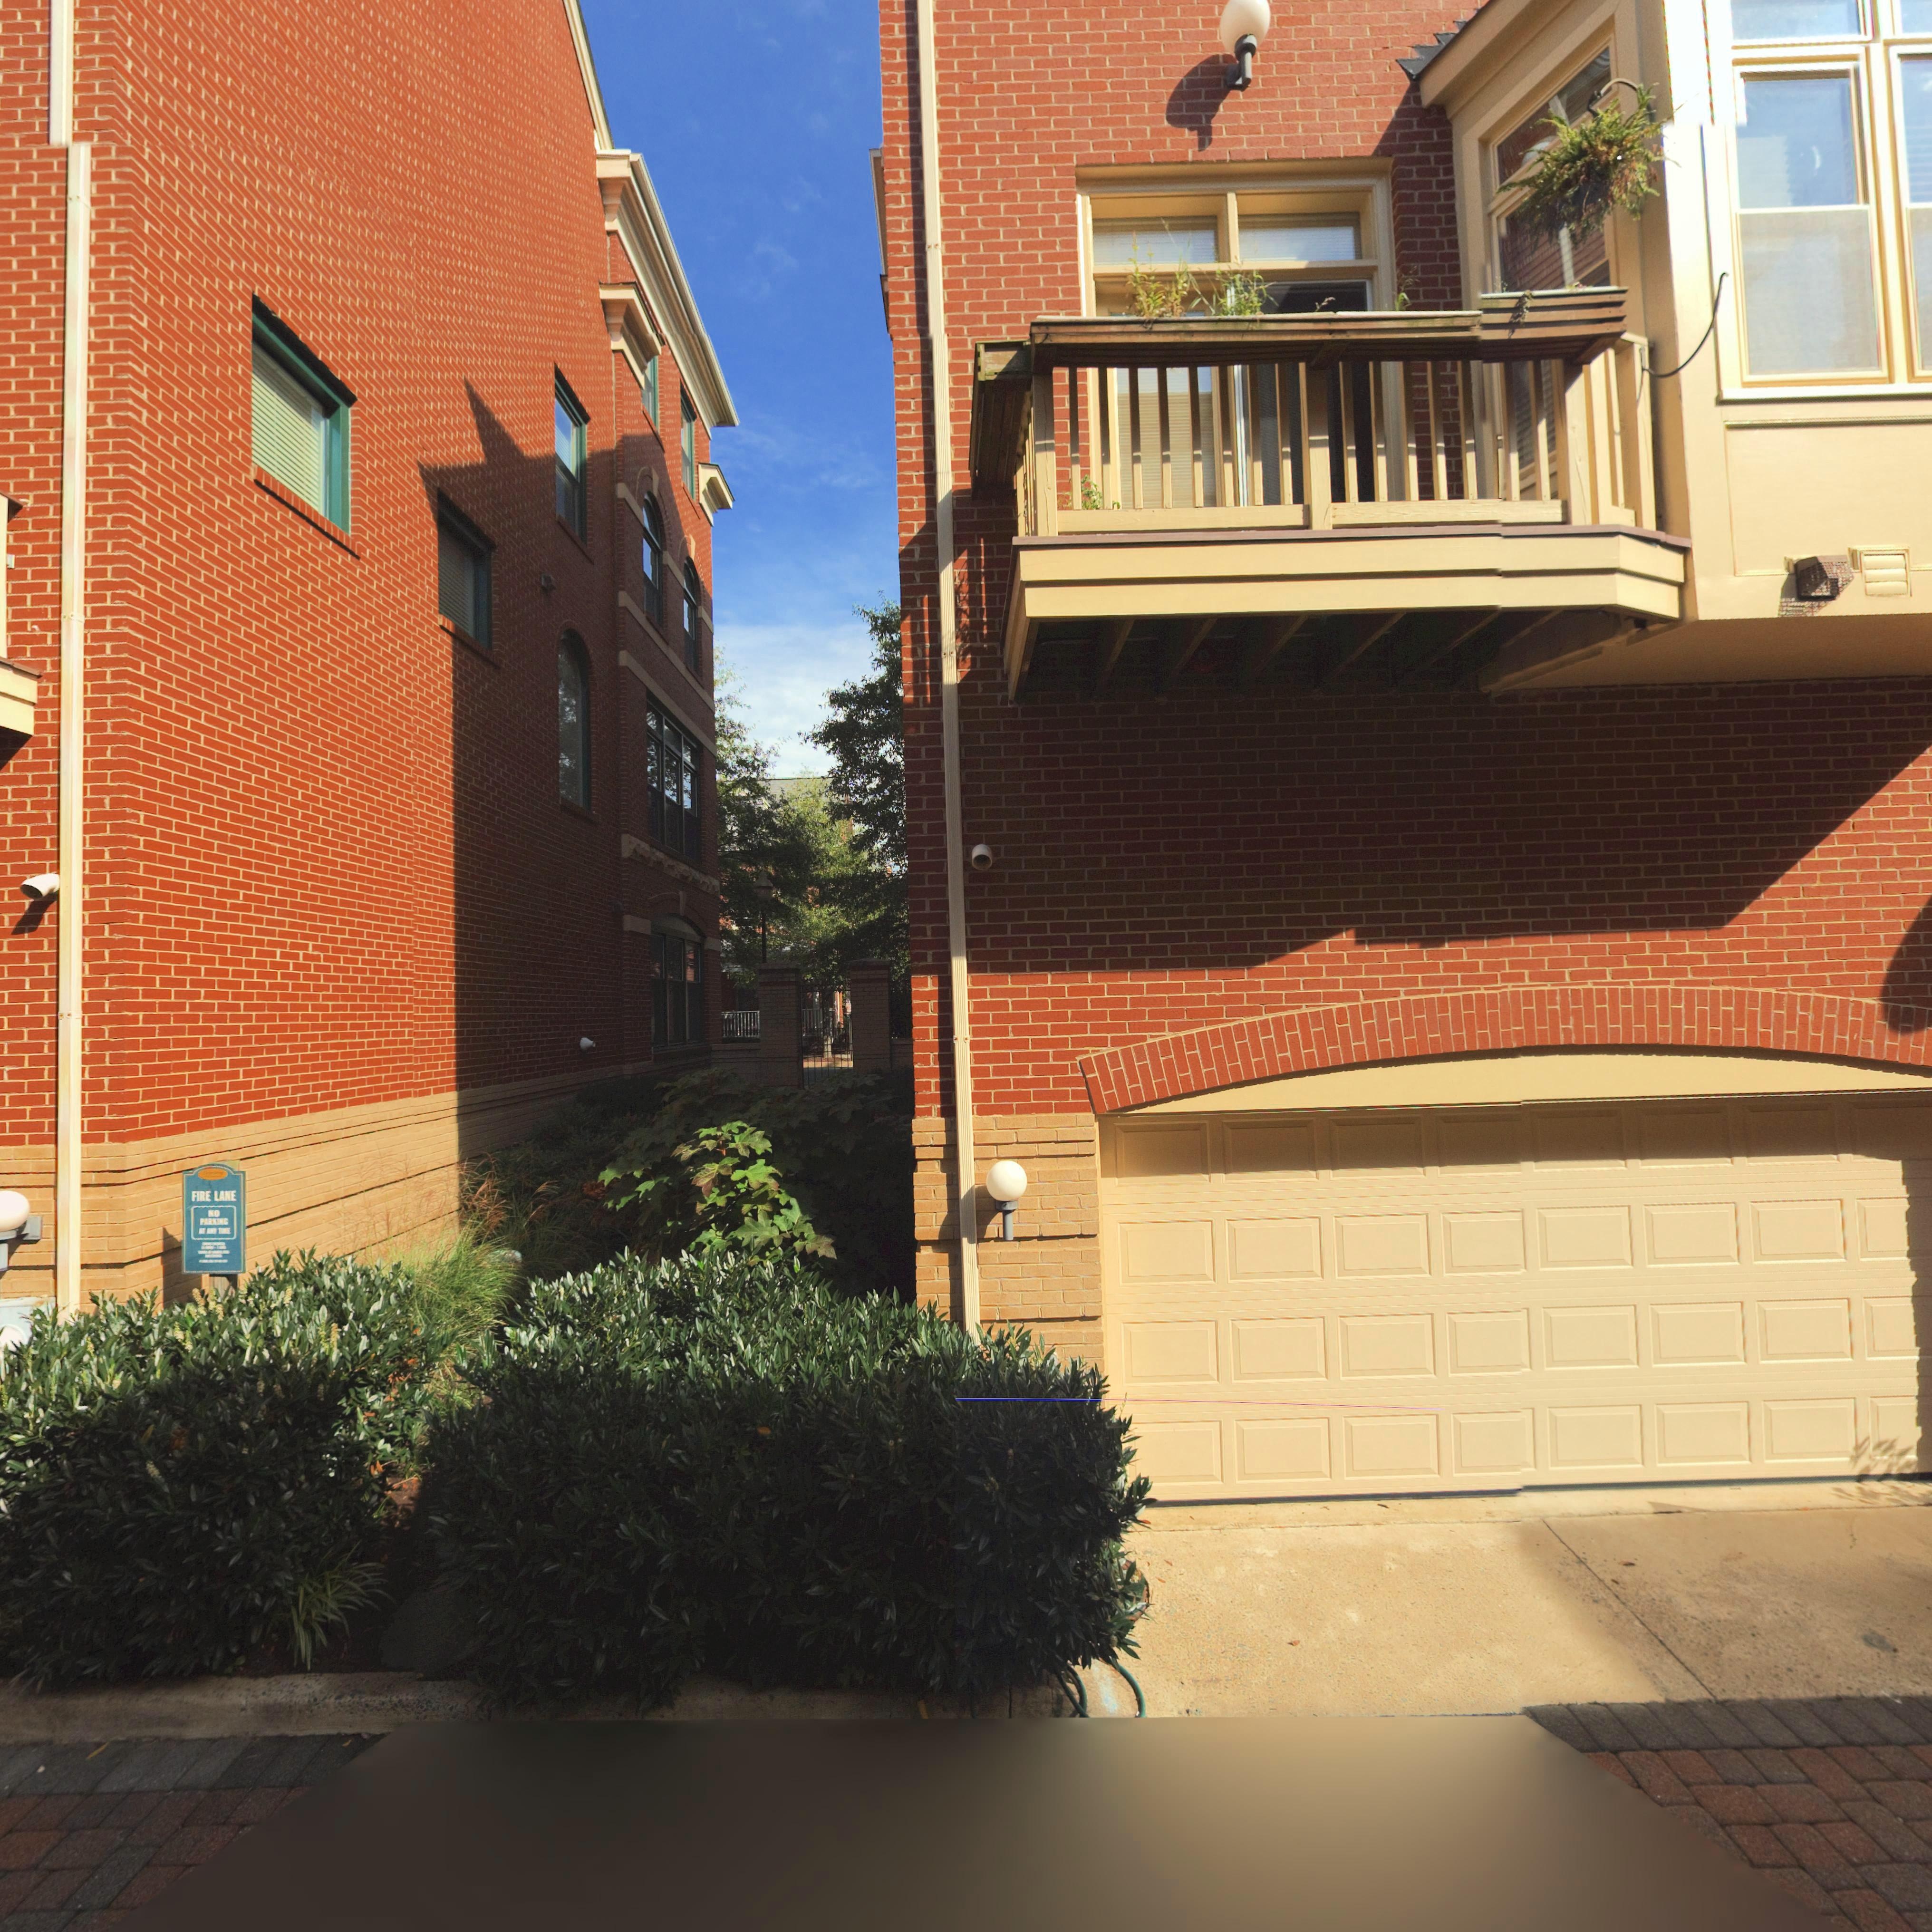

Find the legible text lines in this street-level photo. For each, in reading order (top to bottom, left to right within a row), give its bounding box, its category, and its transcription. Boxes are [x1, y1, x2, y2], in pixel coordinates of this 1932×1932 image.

[190, 1188, 238, 1203] None: FIRE LANE
[207, 1208, 222, 1218] None: NO